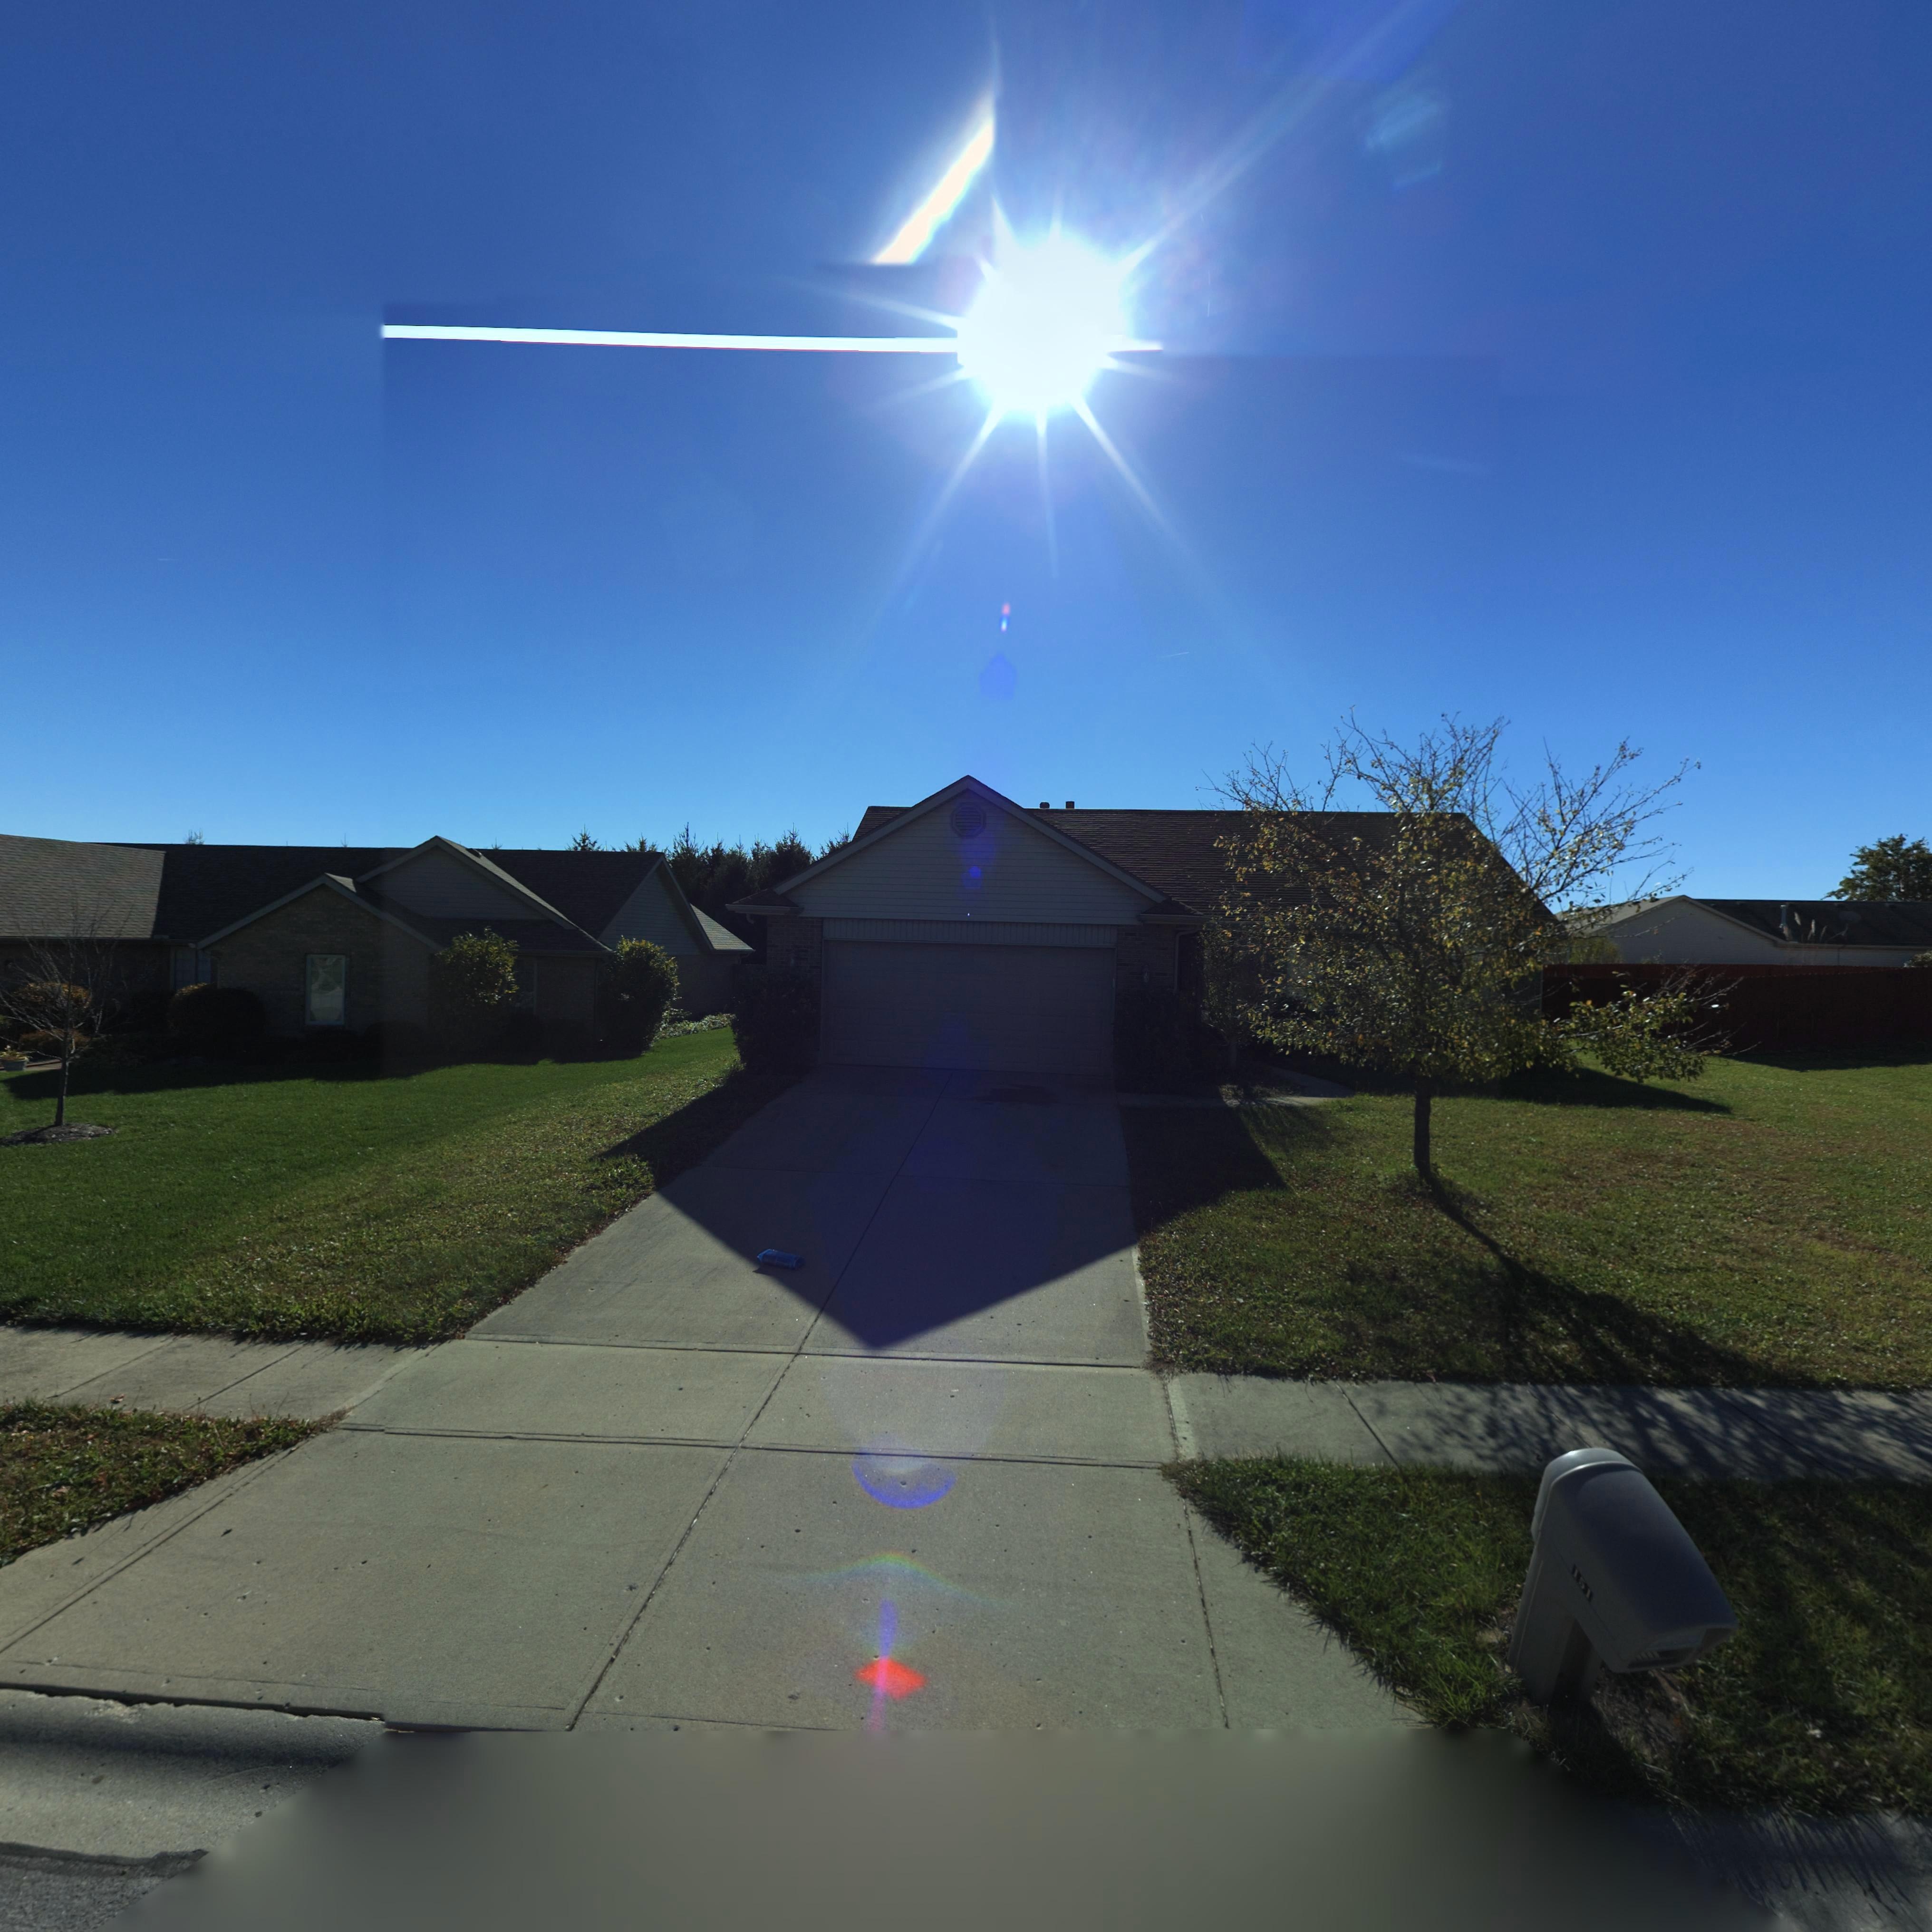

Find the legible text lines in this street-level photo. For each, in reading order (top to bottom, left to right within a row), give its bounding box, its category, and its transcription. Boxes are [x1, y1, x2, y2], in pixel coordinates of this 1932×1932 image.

[1572, 1566, 1593, 1601] StreetNumber: 151